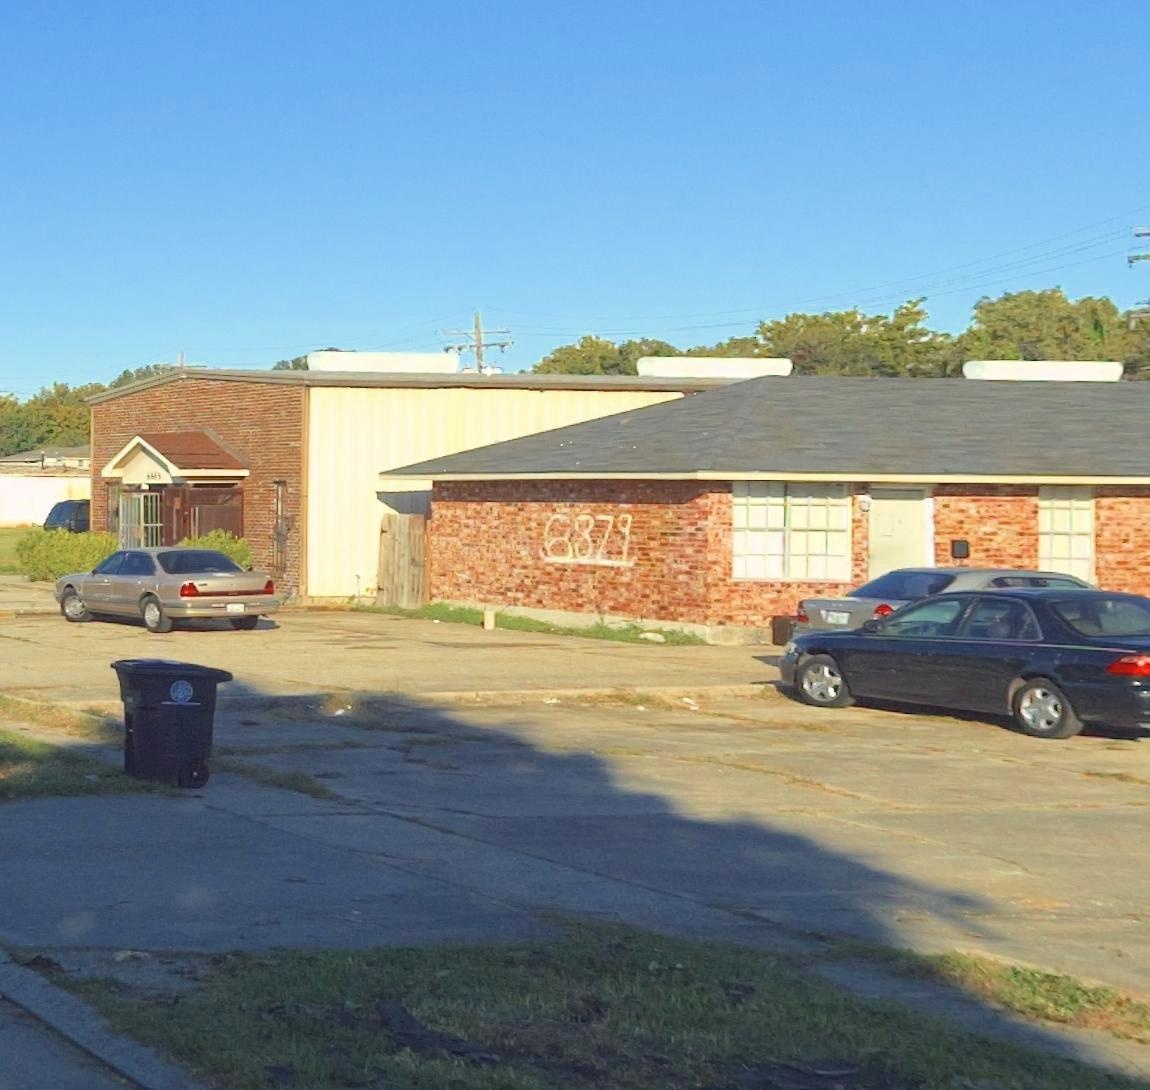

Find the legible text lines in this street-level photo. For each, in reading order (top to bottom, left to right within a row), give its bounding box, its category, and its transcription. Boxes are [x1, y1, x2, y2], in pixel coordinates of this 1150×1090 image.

[539, 511, 635, 567] StreetNumber: 6879